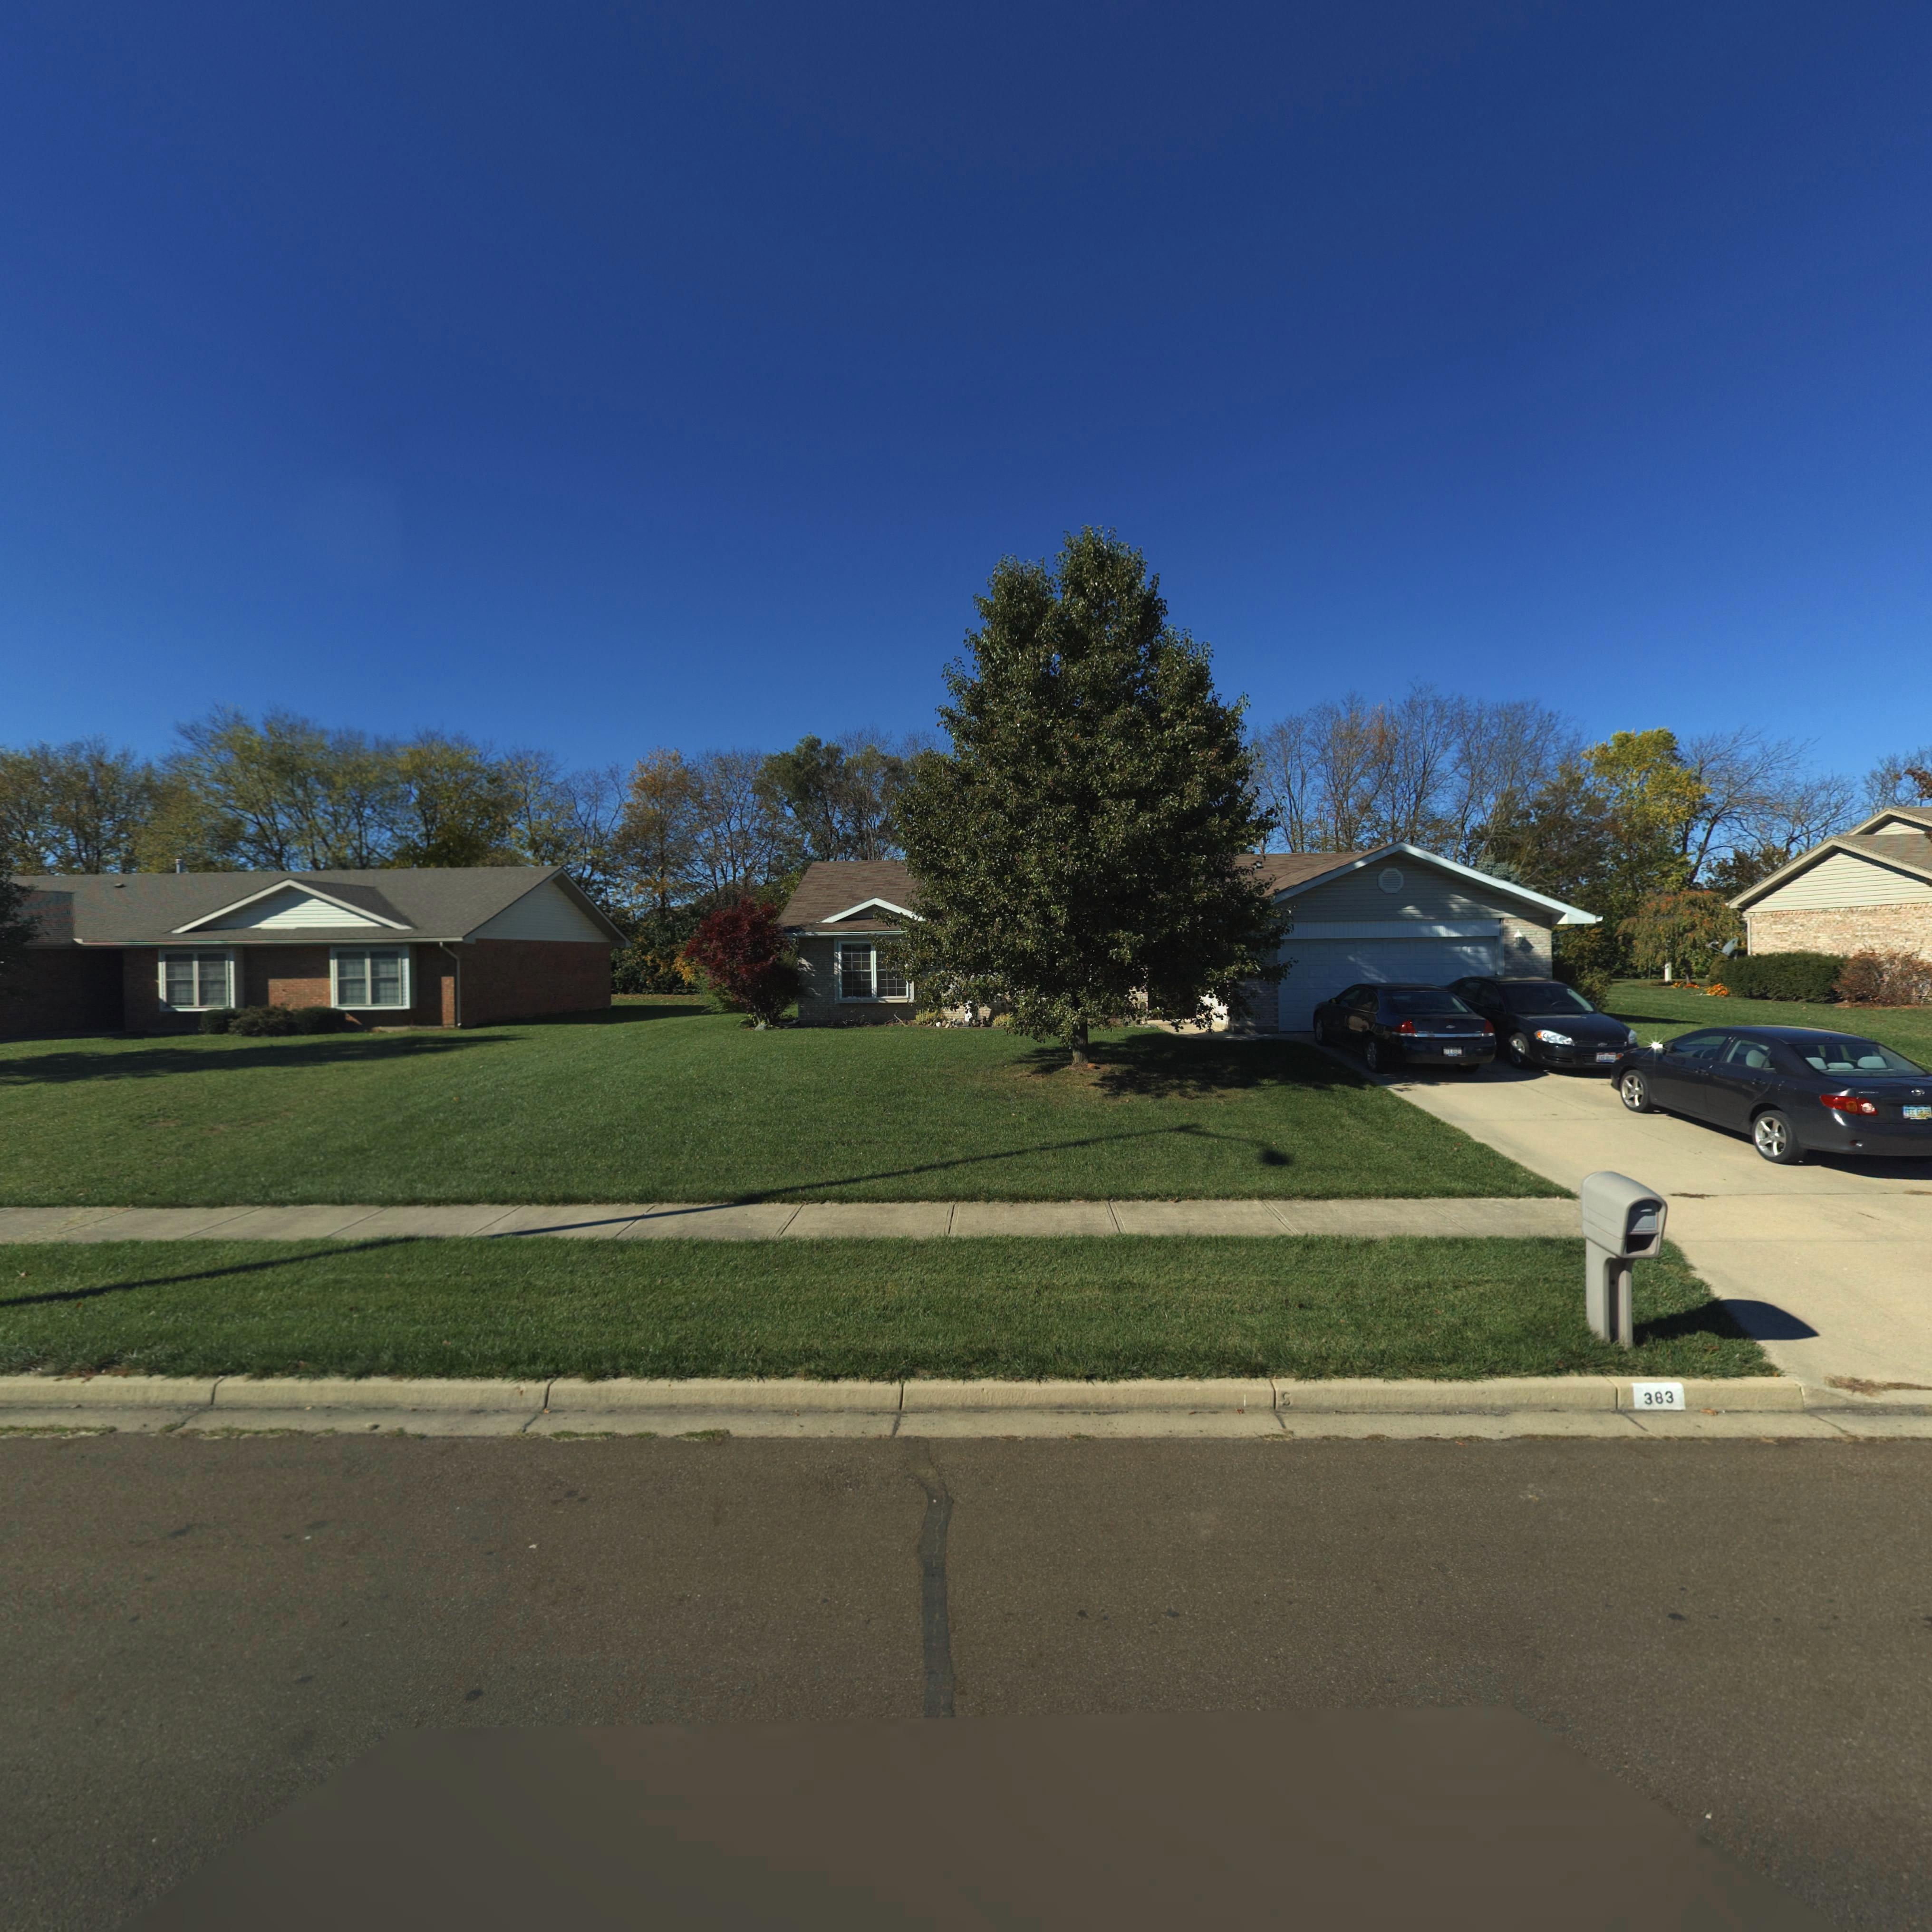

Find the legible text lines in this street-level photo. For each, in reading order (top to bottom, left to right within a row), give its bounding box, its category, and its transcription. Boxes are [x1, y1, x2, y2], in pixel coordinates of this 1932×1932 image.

[1642, 1390, 1674, 1406] StreetNumber: 383